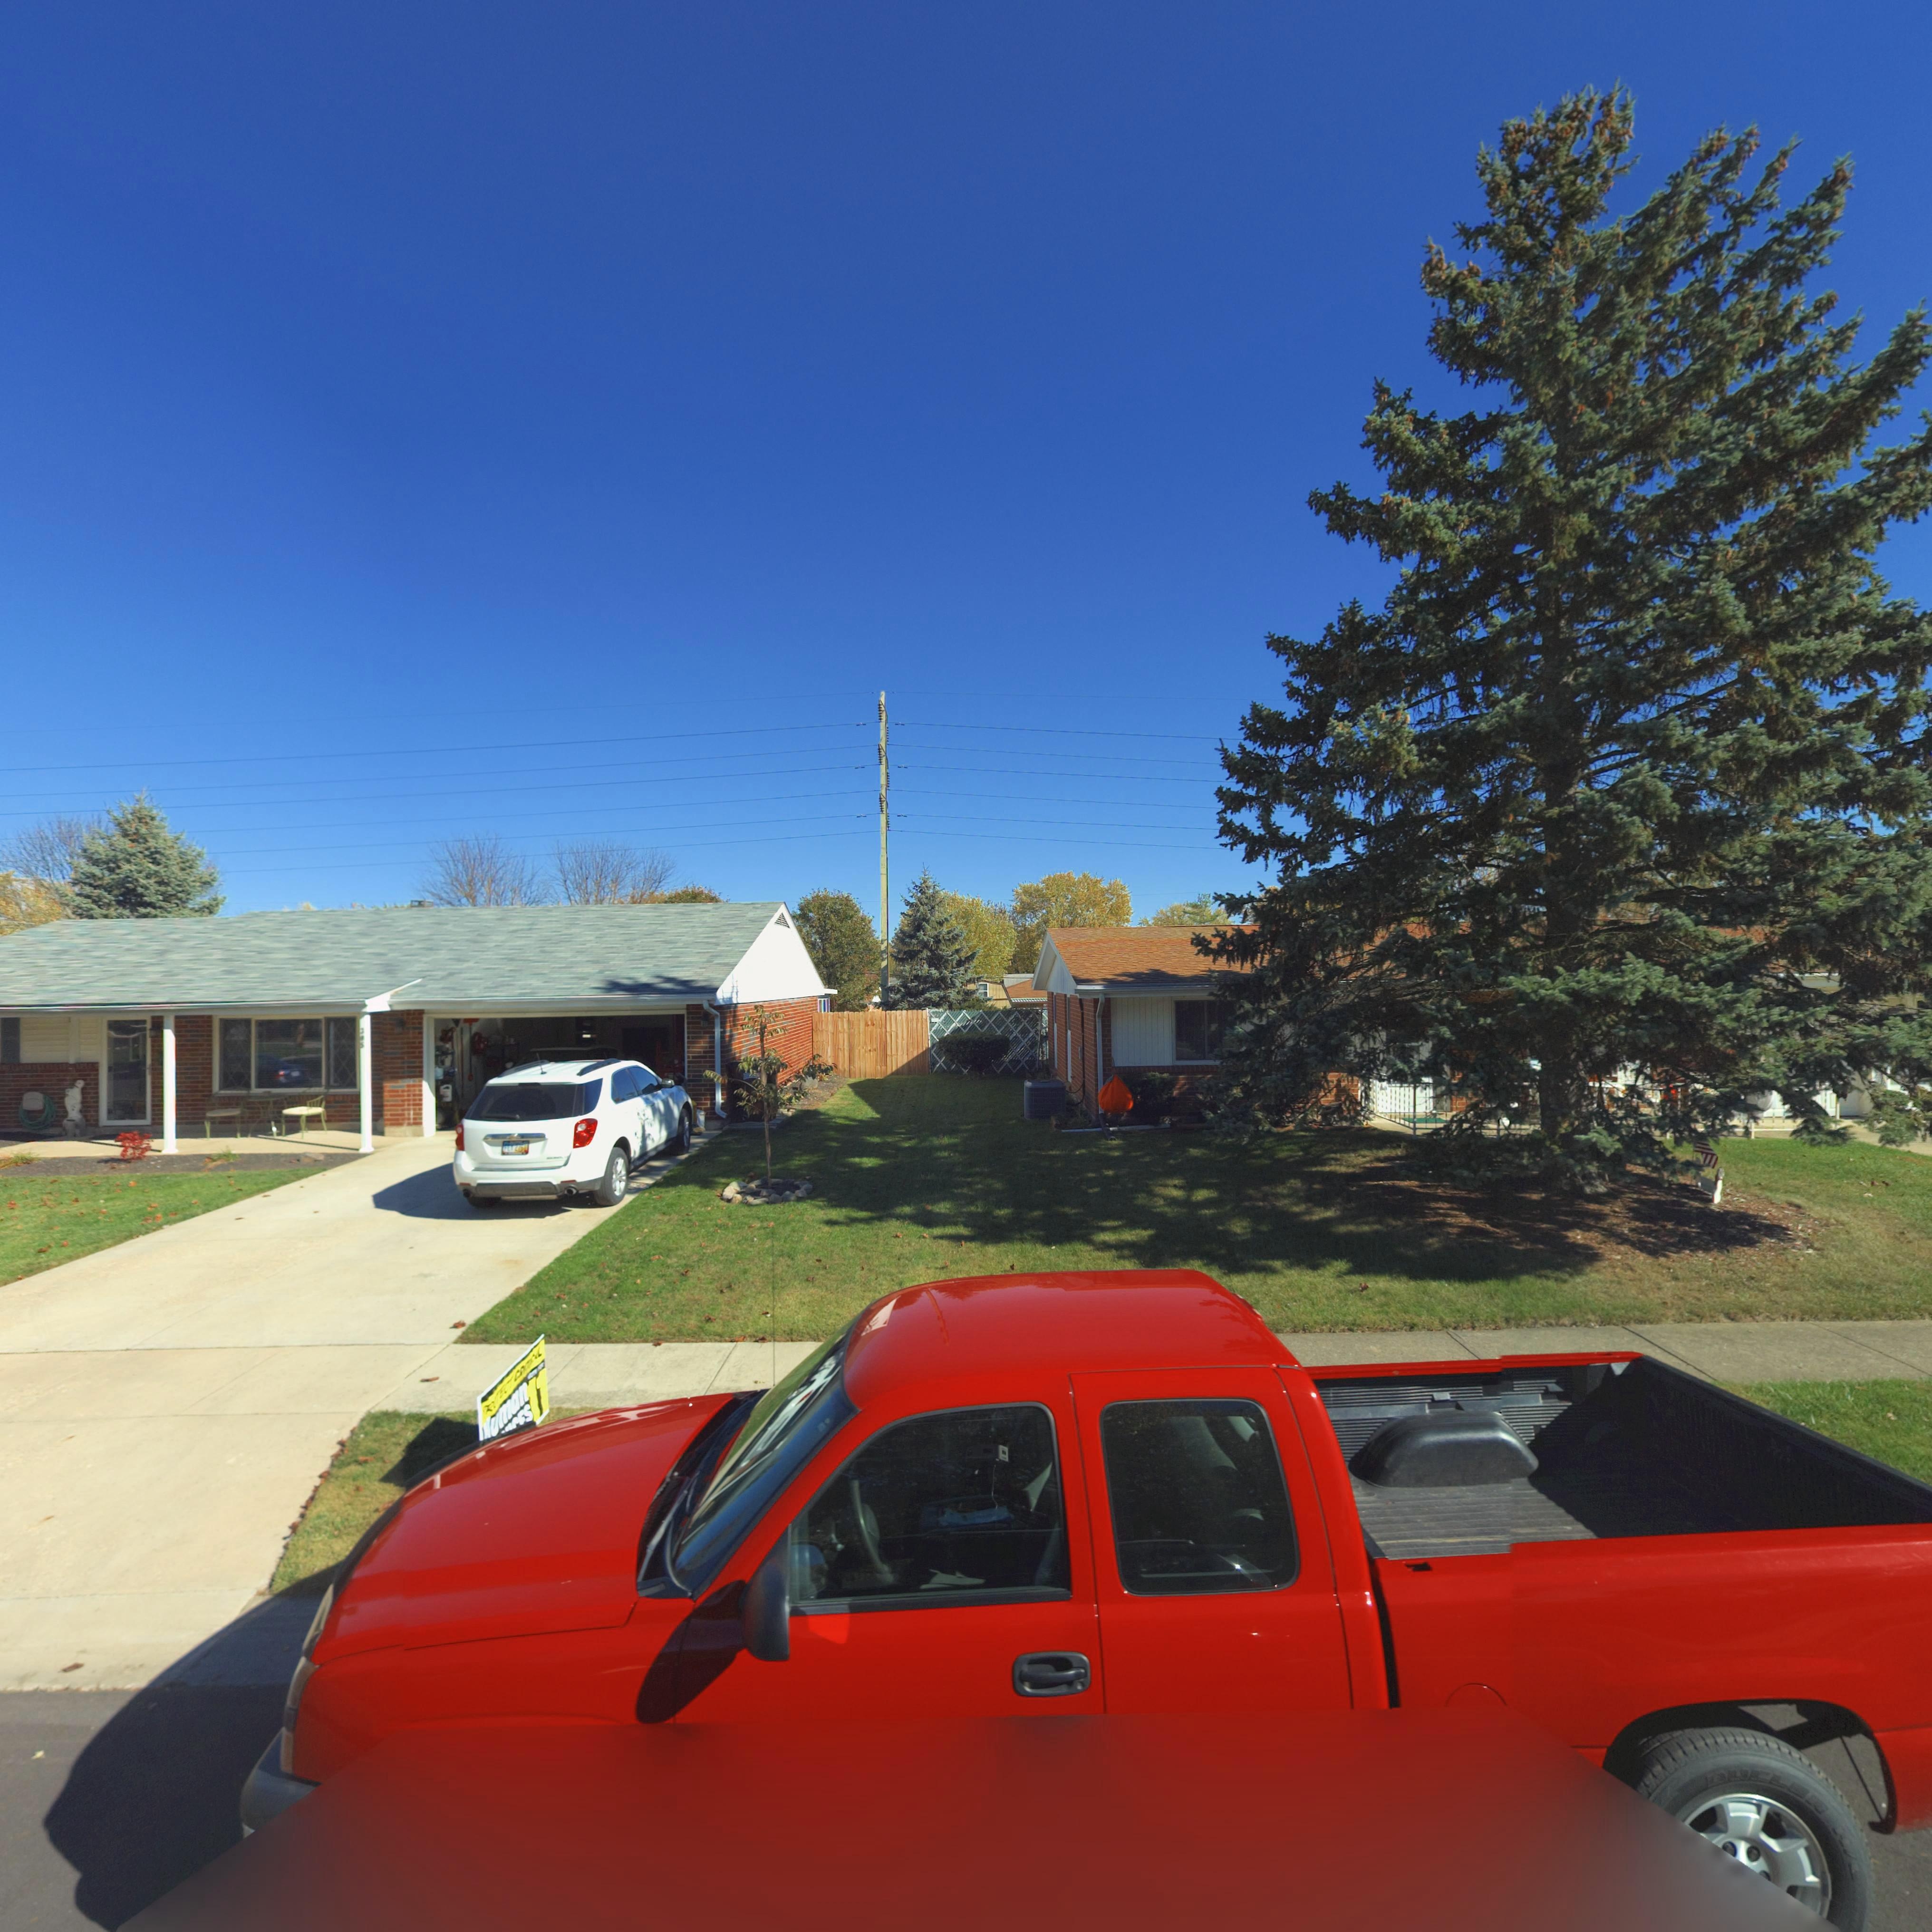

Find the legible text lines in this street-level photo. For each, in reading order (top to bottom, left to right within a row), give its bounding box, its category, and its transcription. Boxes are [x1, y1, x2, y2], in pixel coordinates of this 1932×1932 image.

[359, 1027, 365, 1049] StreetNumber: 305